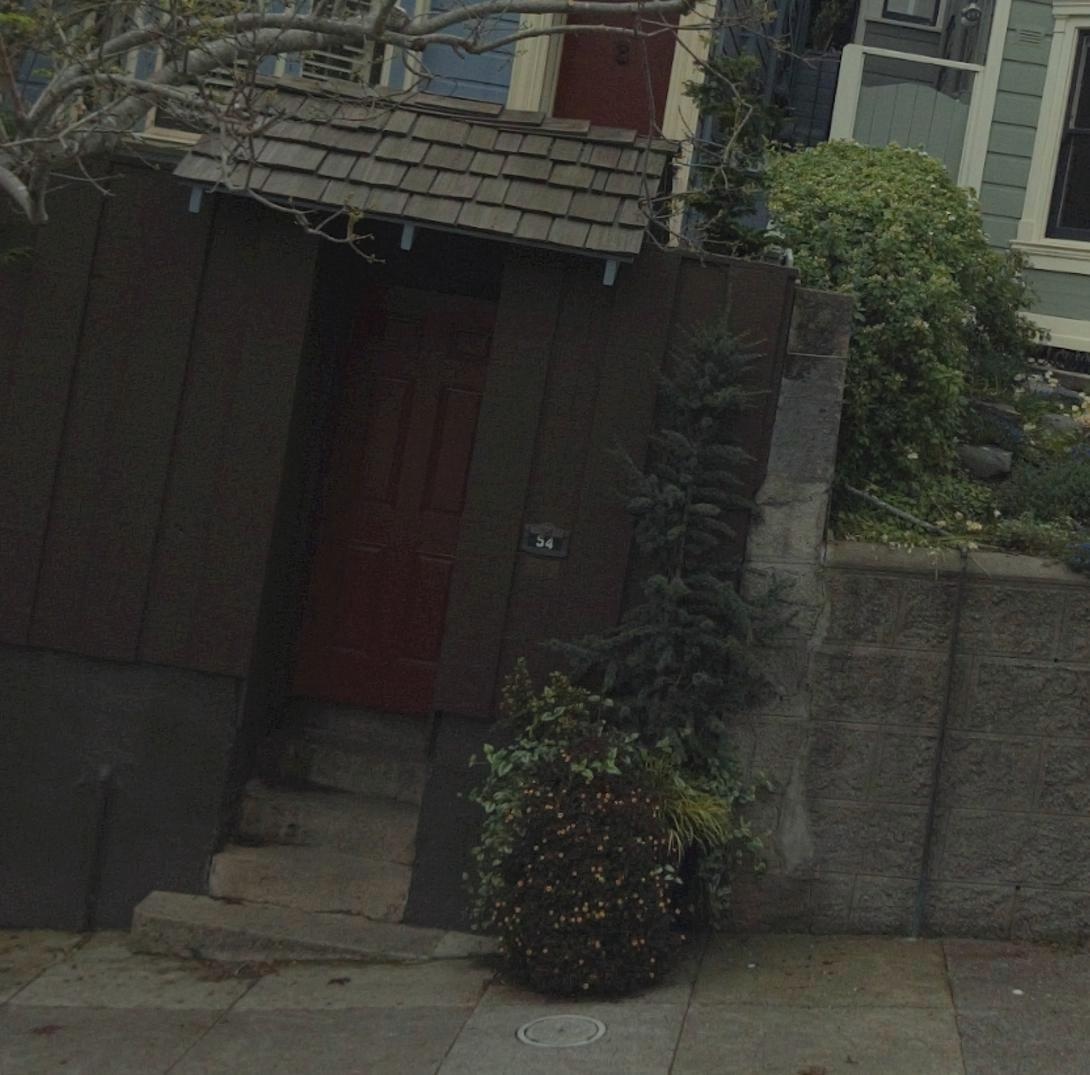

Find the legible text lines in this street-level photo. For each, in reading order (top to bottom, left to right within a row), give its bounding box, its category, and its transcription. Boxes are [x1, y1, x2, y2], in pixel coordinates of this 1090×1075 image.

[533, 533, 555, 551] StreetNumber: 54